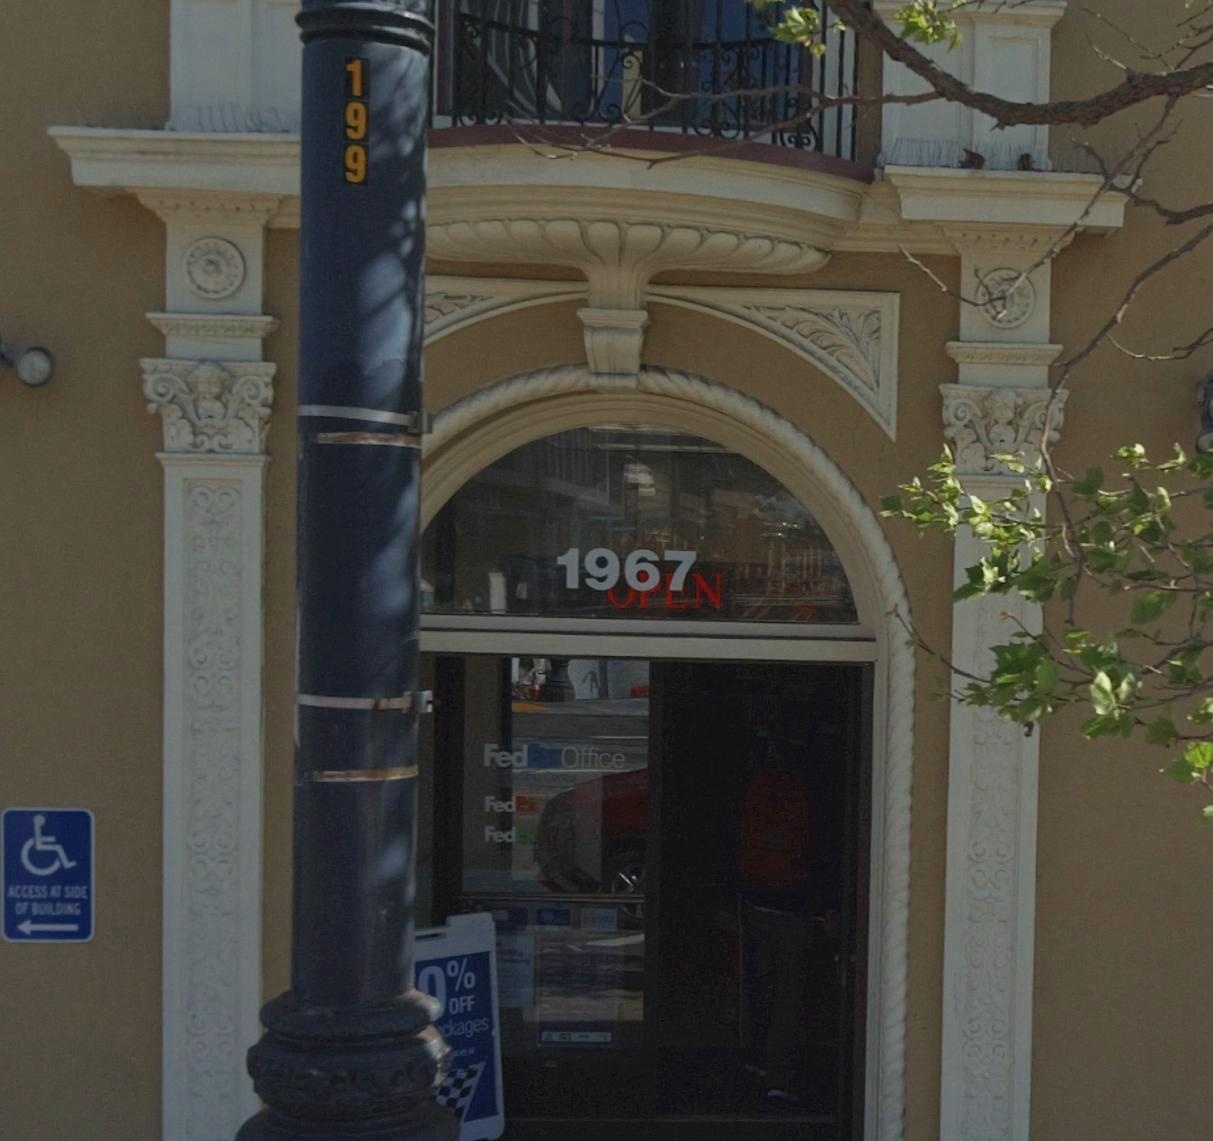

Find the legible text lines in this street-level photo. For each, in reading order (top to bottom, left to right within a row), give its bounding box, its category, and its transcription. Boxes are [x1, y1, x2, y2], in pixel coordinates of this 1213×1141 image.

[342, 57, 371, 187] None: 199
[554, 544, 699, 593] StreetNumber: 1967
[480, 741, 627, 771] BusinessName: Fed** Office
[484, 795, 539, 814] BusinessName: FedEx
[483, 825, 539, 844] BusinessName: Fed**
[6, 884, 89, 900] None: ACCESS AT SIDE
[13, 901, 82, 916] None: OF BUILDING
[448, 994, 476, 1016] None: OFF
[441, 1017, 490, 1040] None: ckages